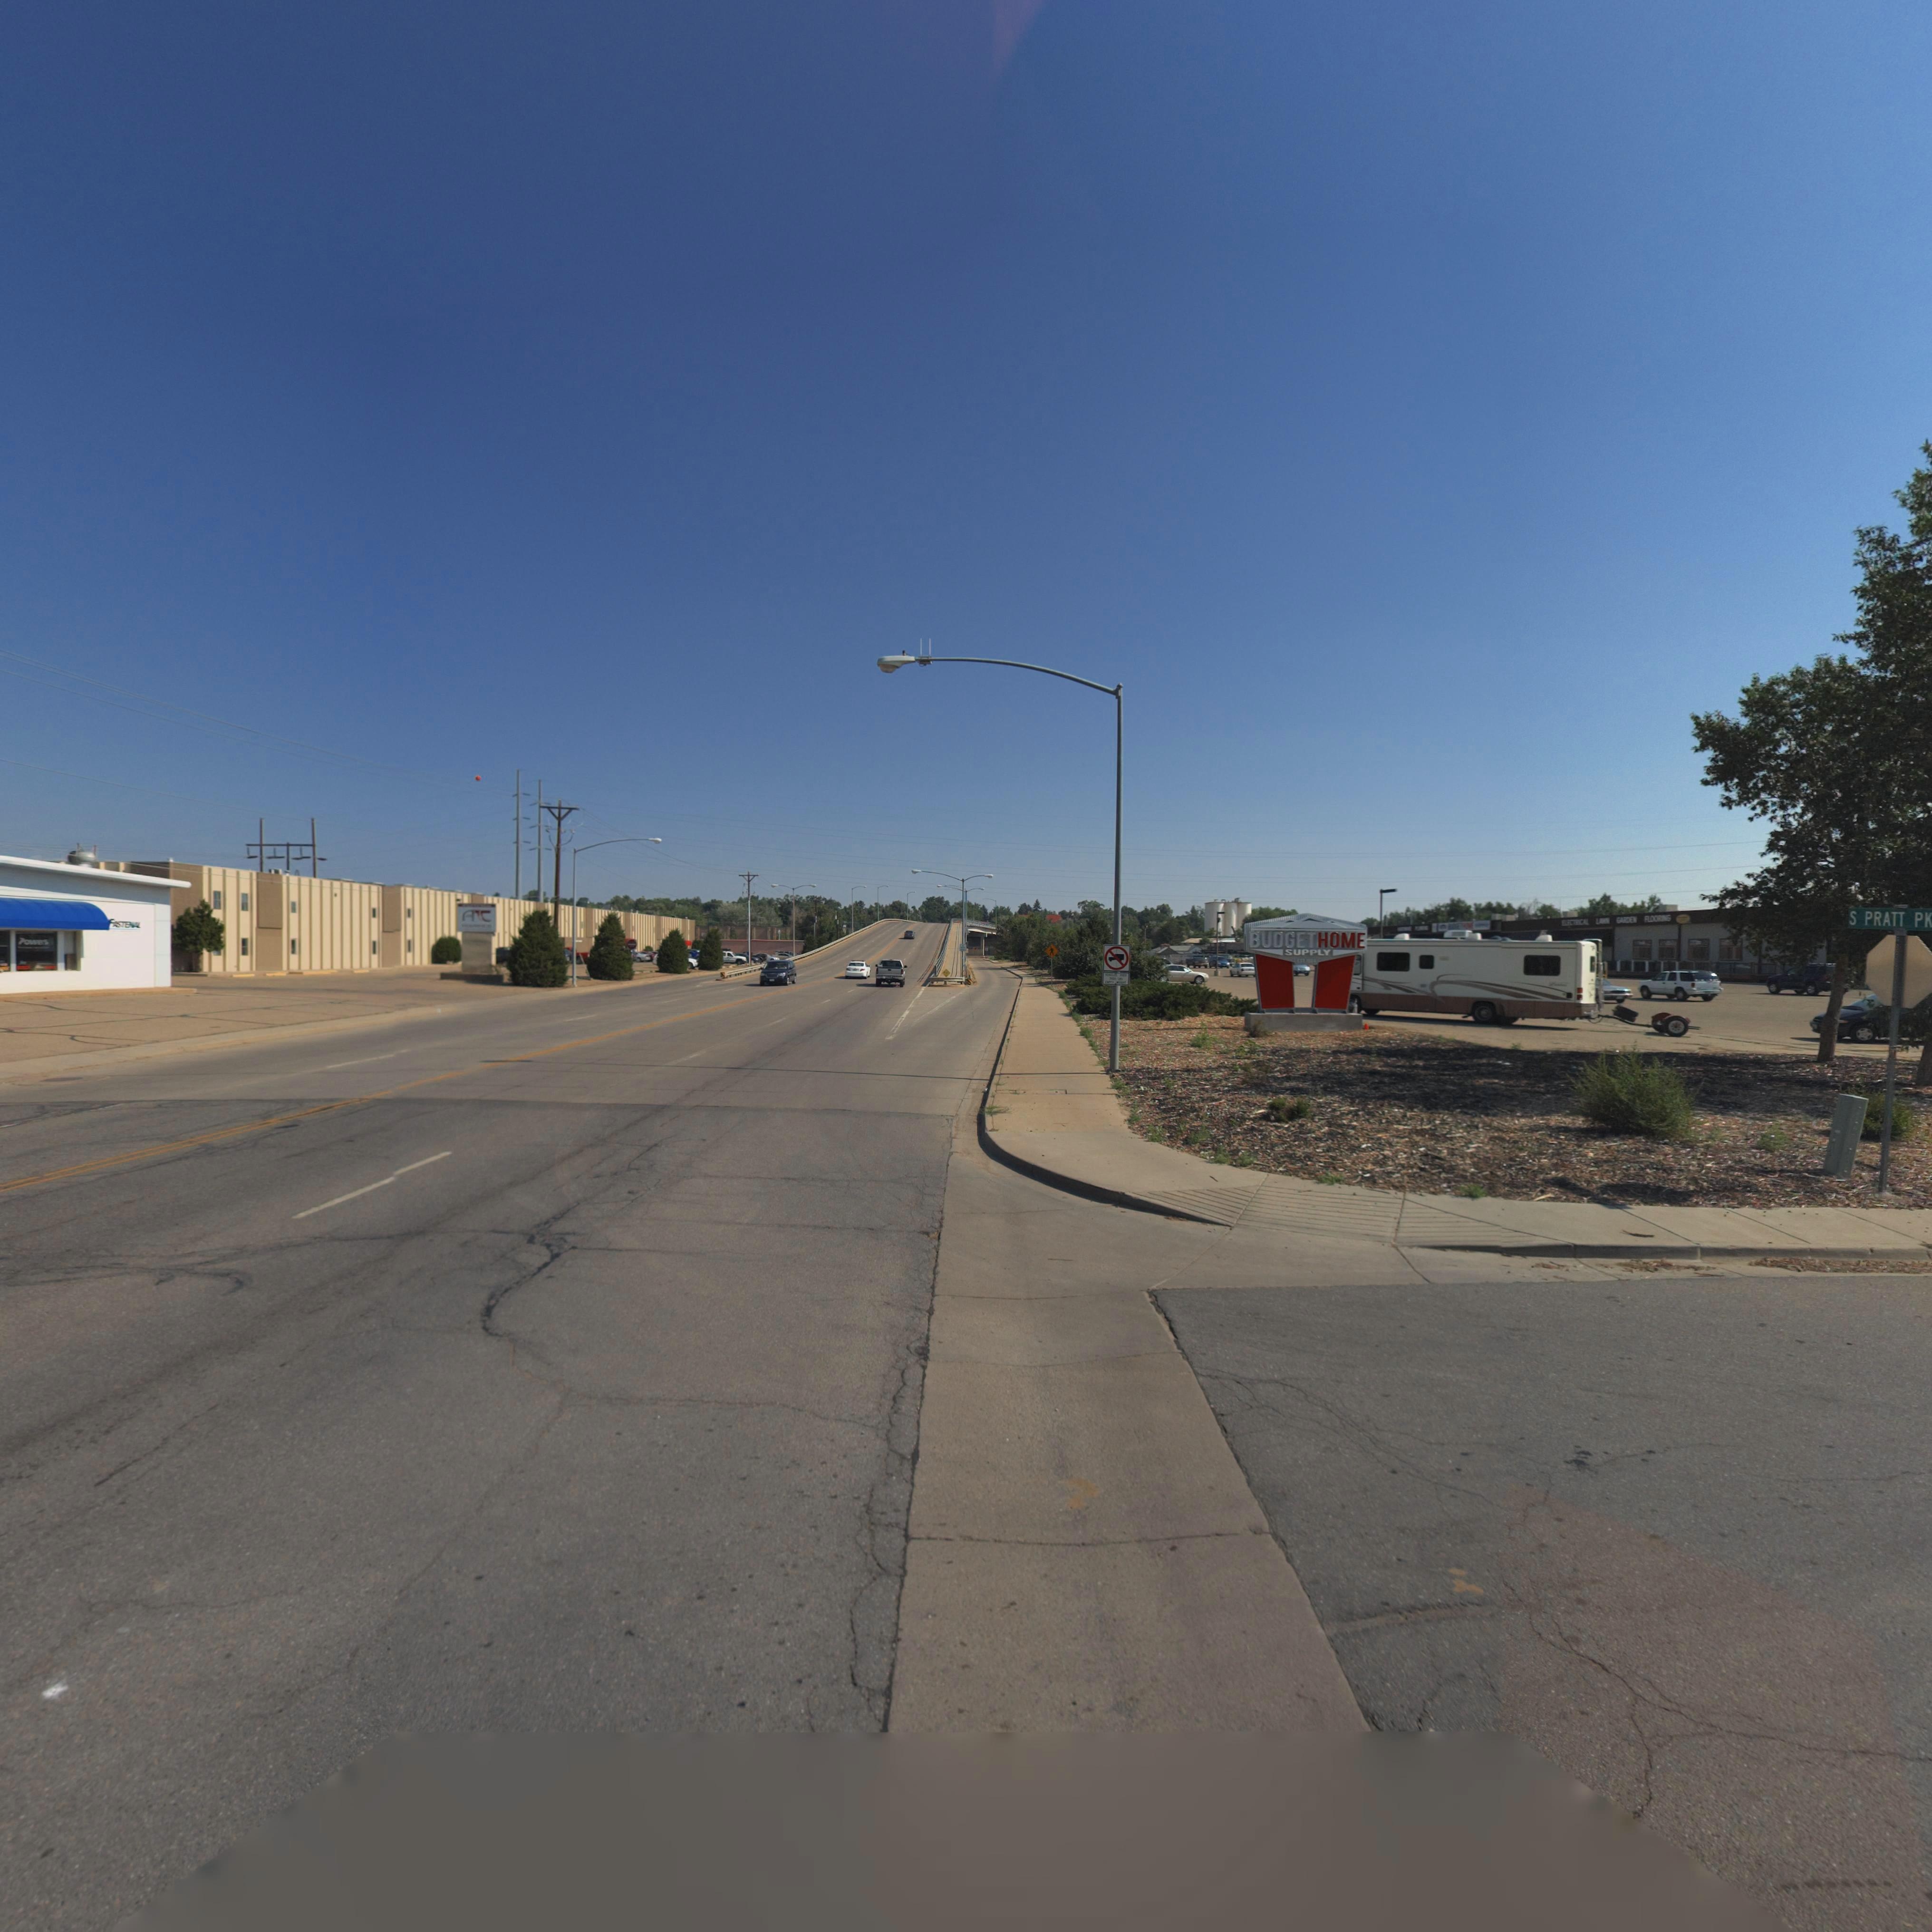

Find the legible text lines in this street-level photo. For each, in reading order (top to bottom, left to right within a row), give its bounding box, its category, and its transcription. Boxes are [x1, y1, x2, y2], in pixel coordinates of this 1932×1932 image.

[112, 920, 141, 928] BusinessName: ASTE**L
[461, 910, 492, 922] BusinessName: A*
[1447, 922, 1473, 930] BusinessName: B***ETHO**
[1848, 910, 1924, 928] StreetName: S PRATT P
[1249, 930, 1366, 948] BusinessName: BUDGETHOME
[1284, 949, 1333, 956] BusinessName: SUPPLY